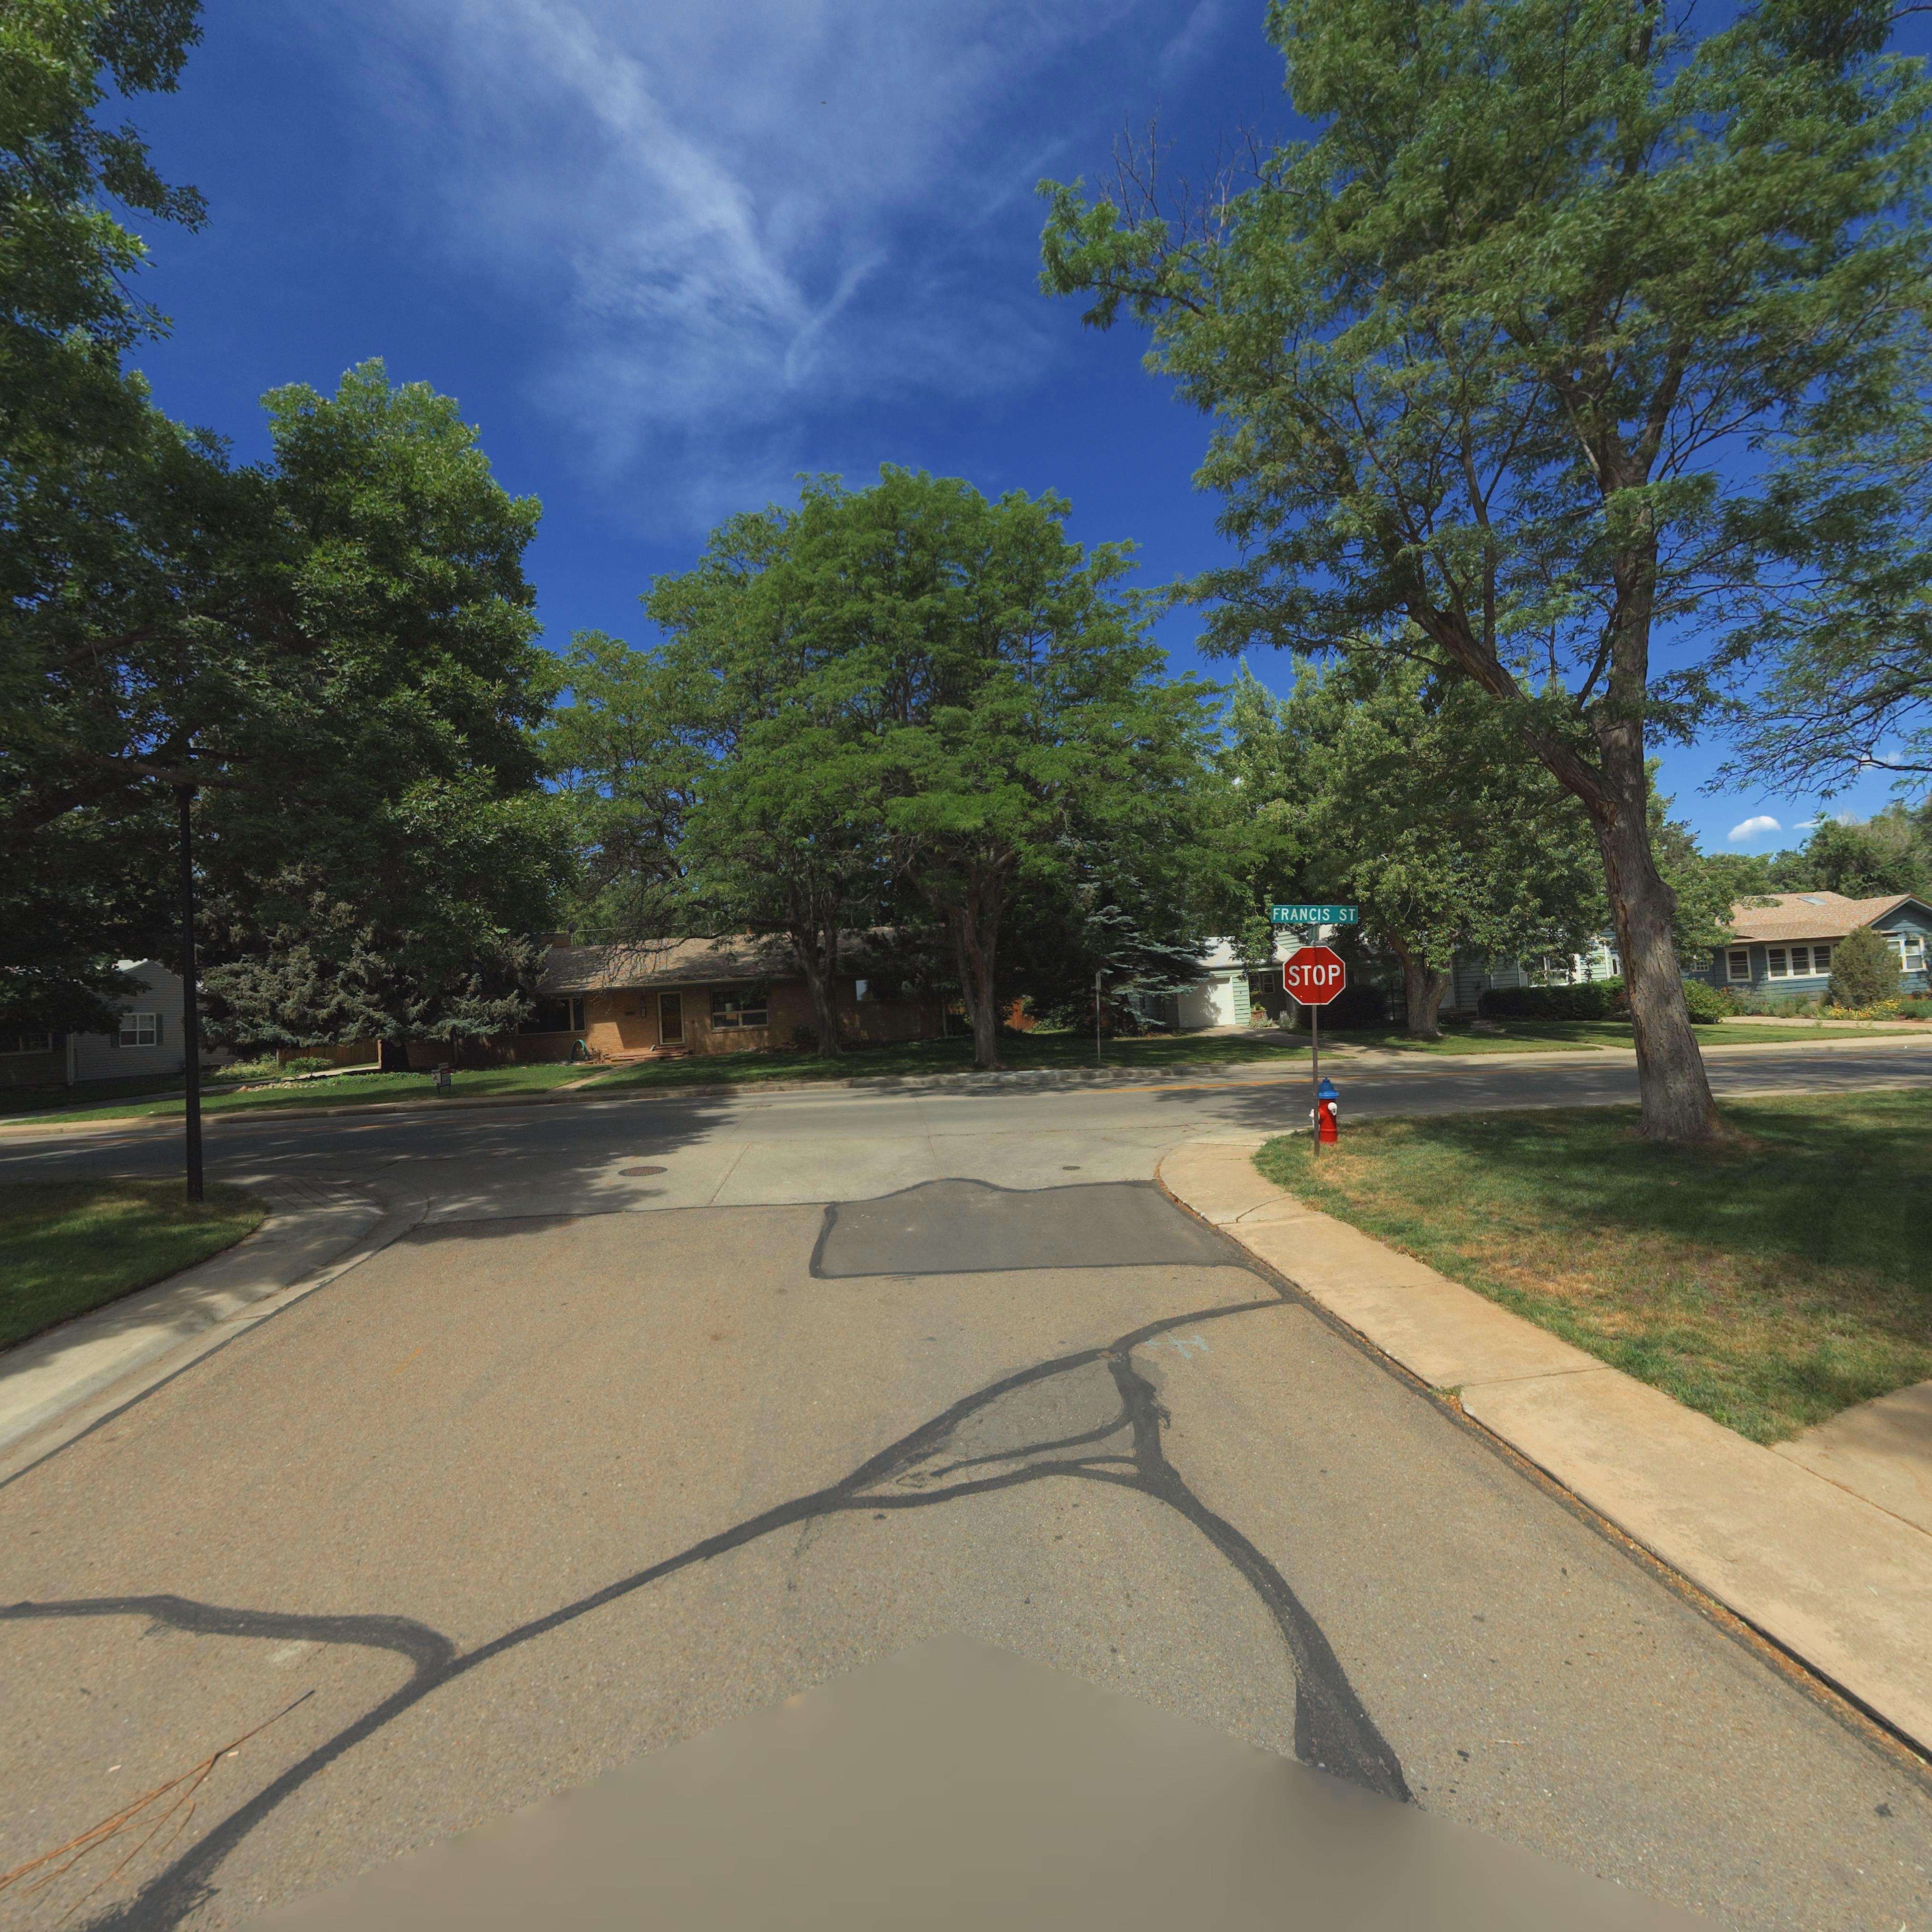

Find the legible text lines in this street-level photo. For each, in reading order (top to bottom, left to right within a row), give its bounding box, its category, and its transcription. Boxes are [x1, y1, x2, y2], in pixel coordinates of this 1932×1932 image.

[1273, 907, 1355, 921] StreetName: FRANCIS ST